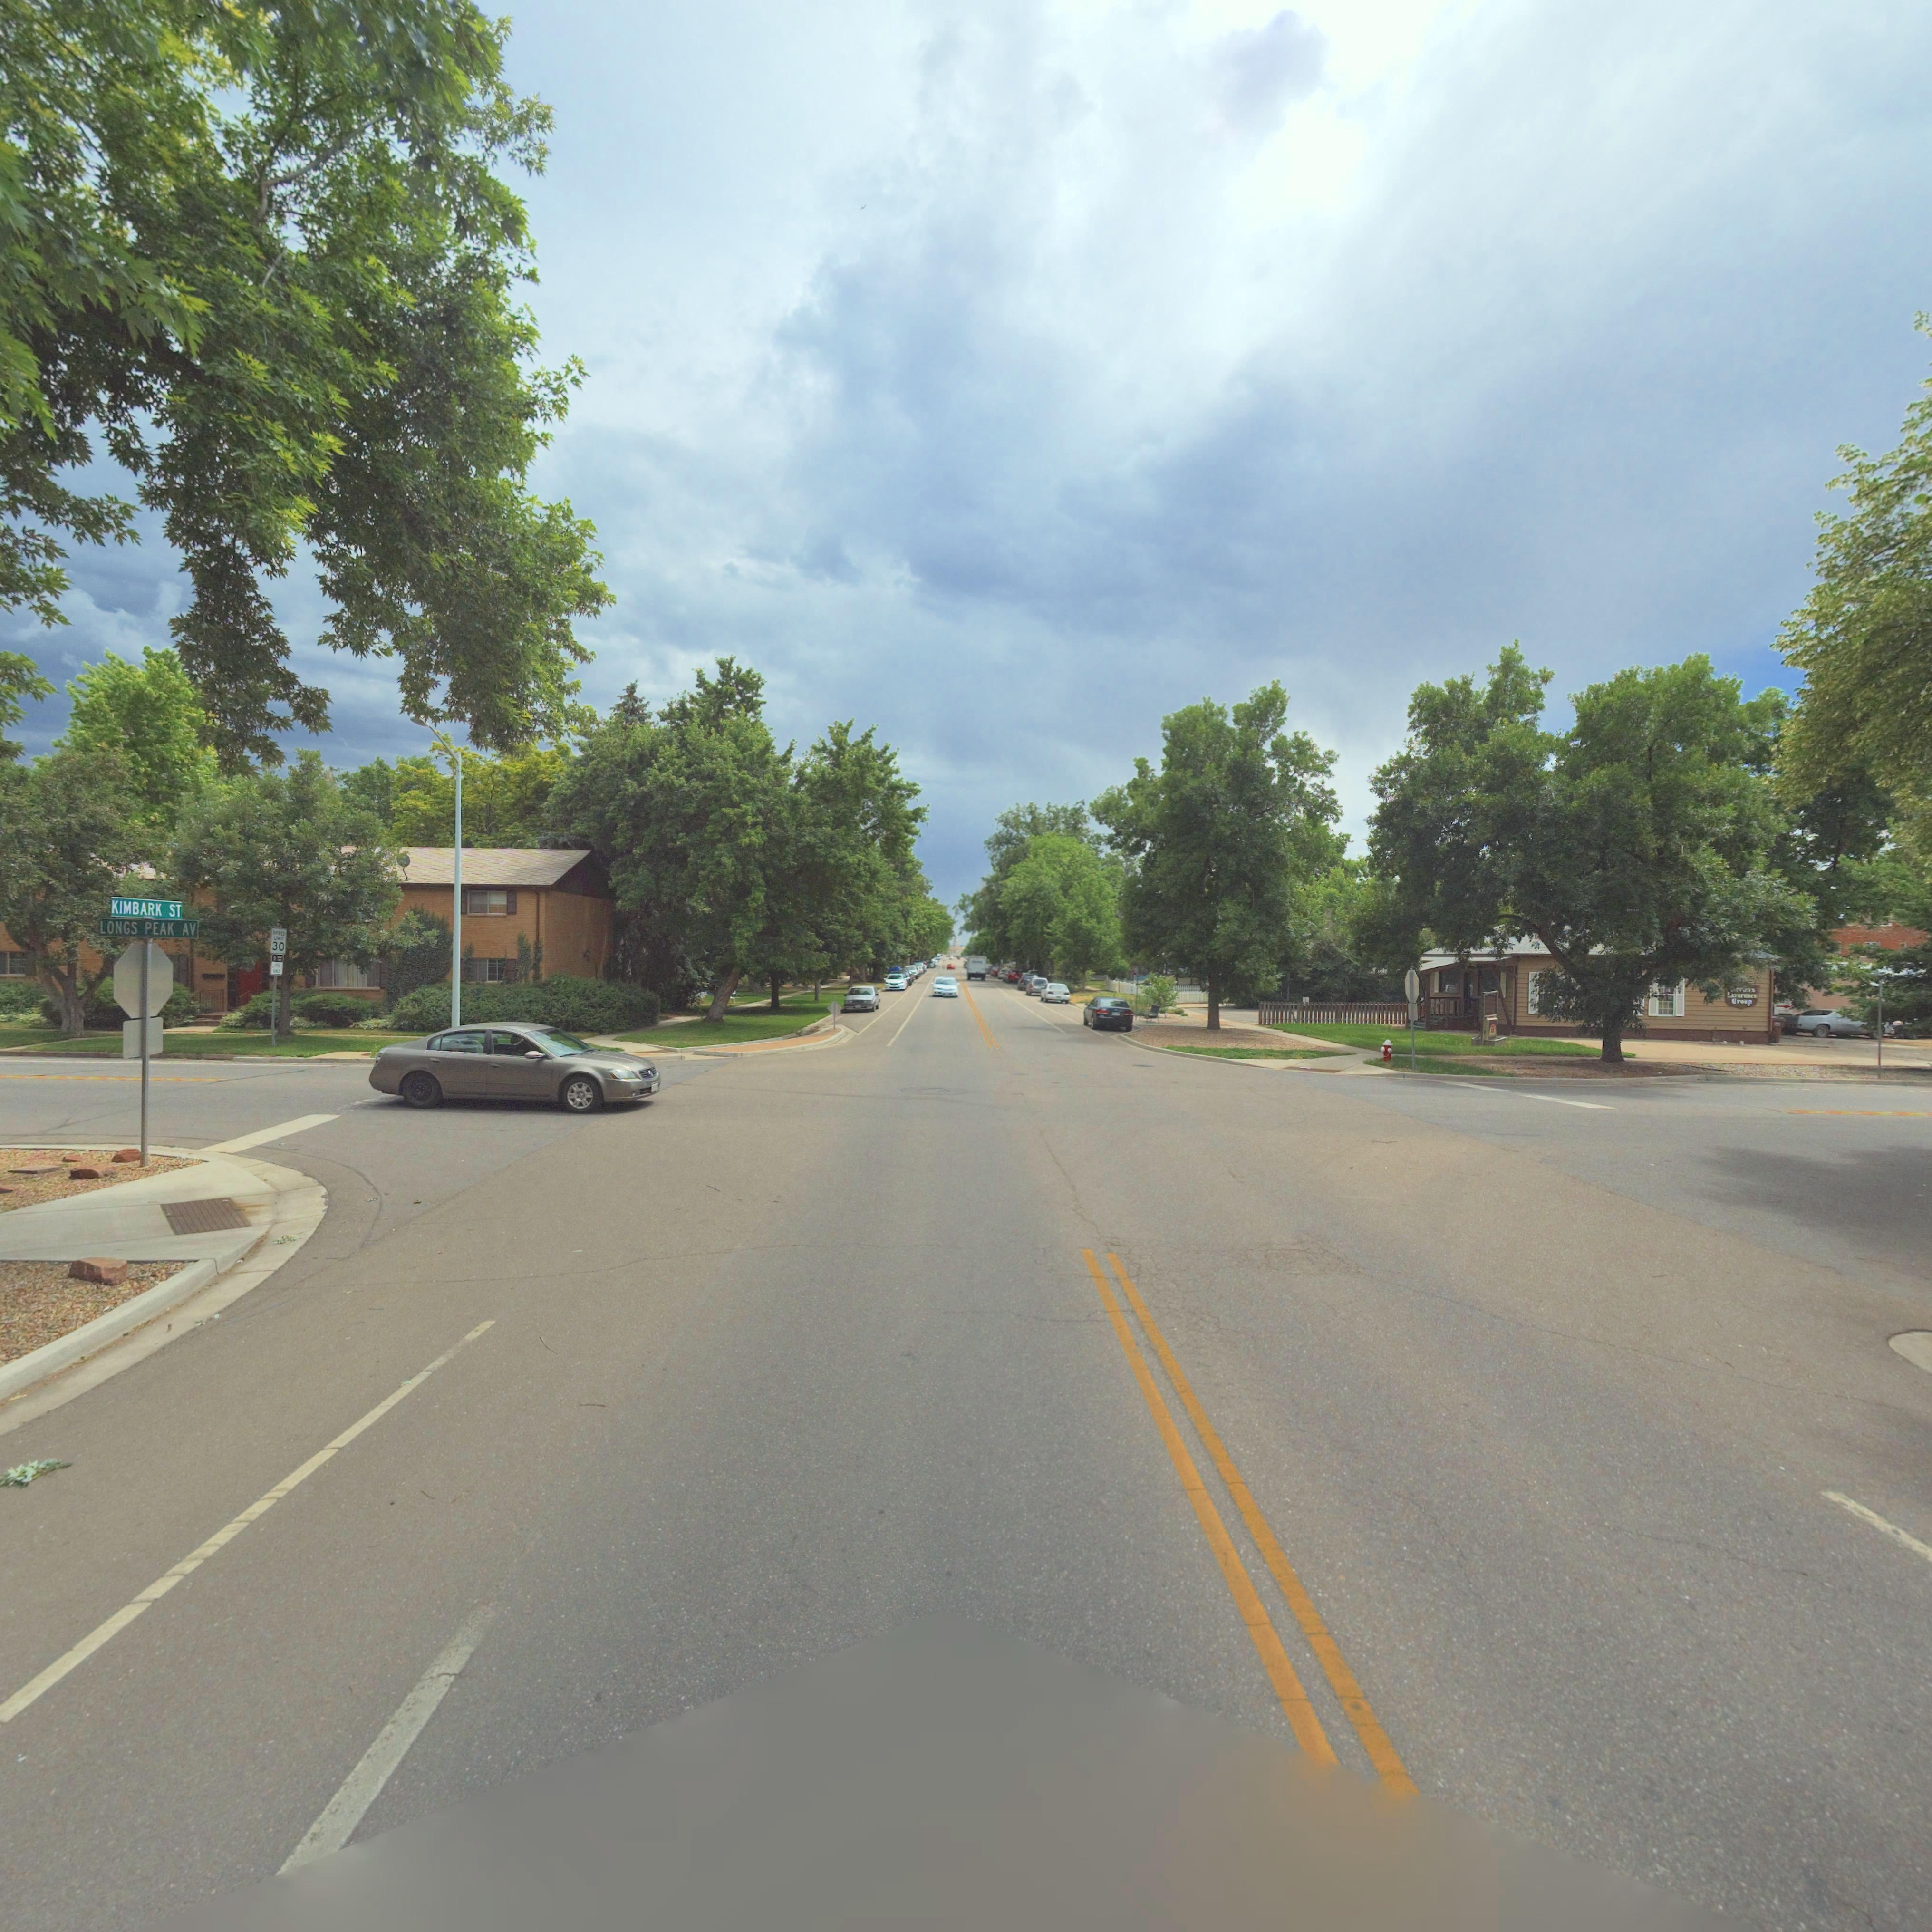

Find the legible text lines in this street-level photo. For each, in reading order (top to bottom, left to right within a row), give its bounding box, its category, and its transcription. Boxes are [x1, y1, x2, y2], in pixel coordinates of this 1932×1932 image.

[111, 899, 182, 918] StreetName: KIMBARK ST
[100, 920, 197, 936] StreetName: LONGS PEAK AV
[1729, 987, 1756, 992] BusinessName: ******s
[1727, 991, 1758, 998] BusinessName: I*sur***e
[1730, 998, 1752, 1006] BusinessName: Group